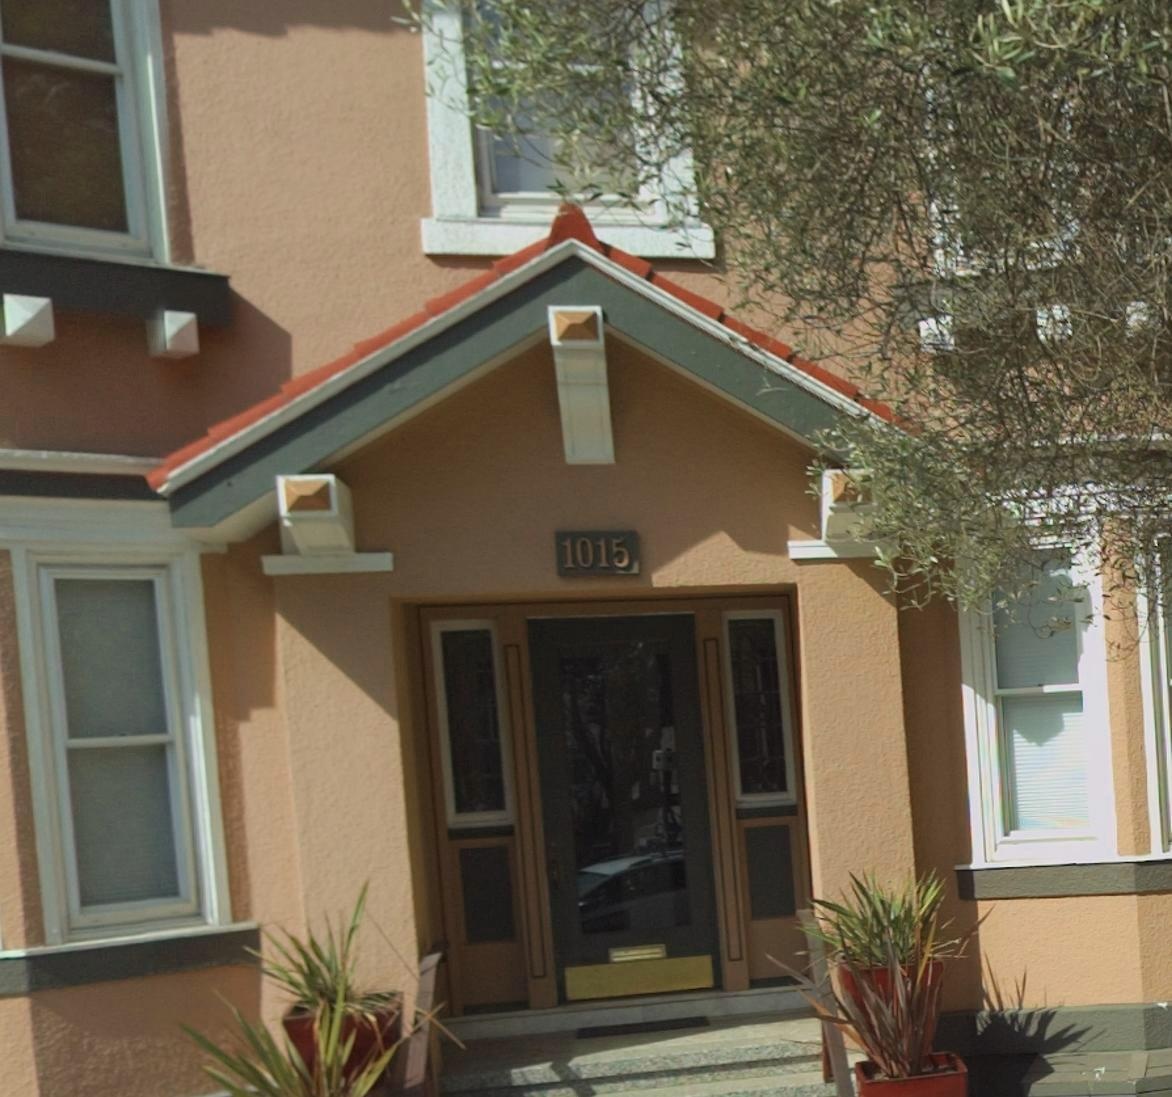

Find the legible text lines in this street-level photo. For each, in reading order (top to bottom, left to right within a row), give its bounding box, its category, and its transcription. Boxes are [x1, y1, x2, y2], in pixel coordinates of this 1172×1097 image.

[559, 533, 632, 571] StreetNumber: 1015